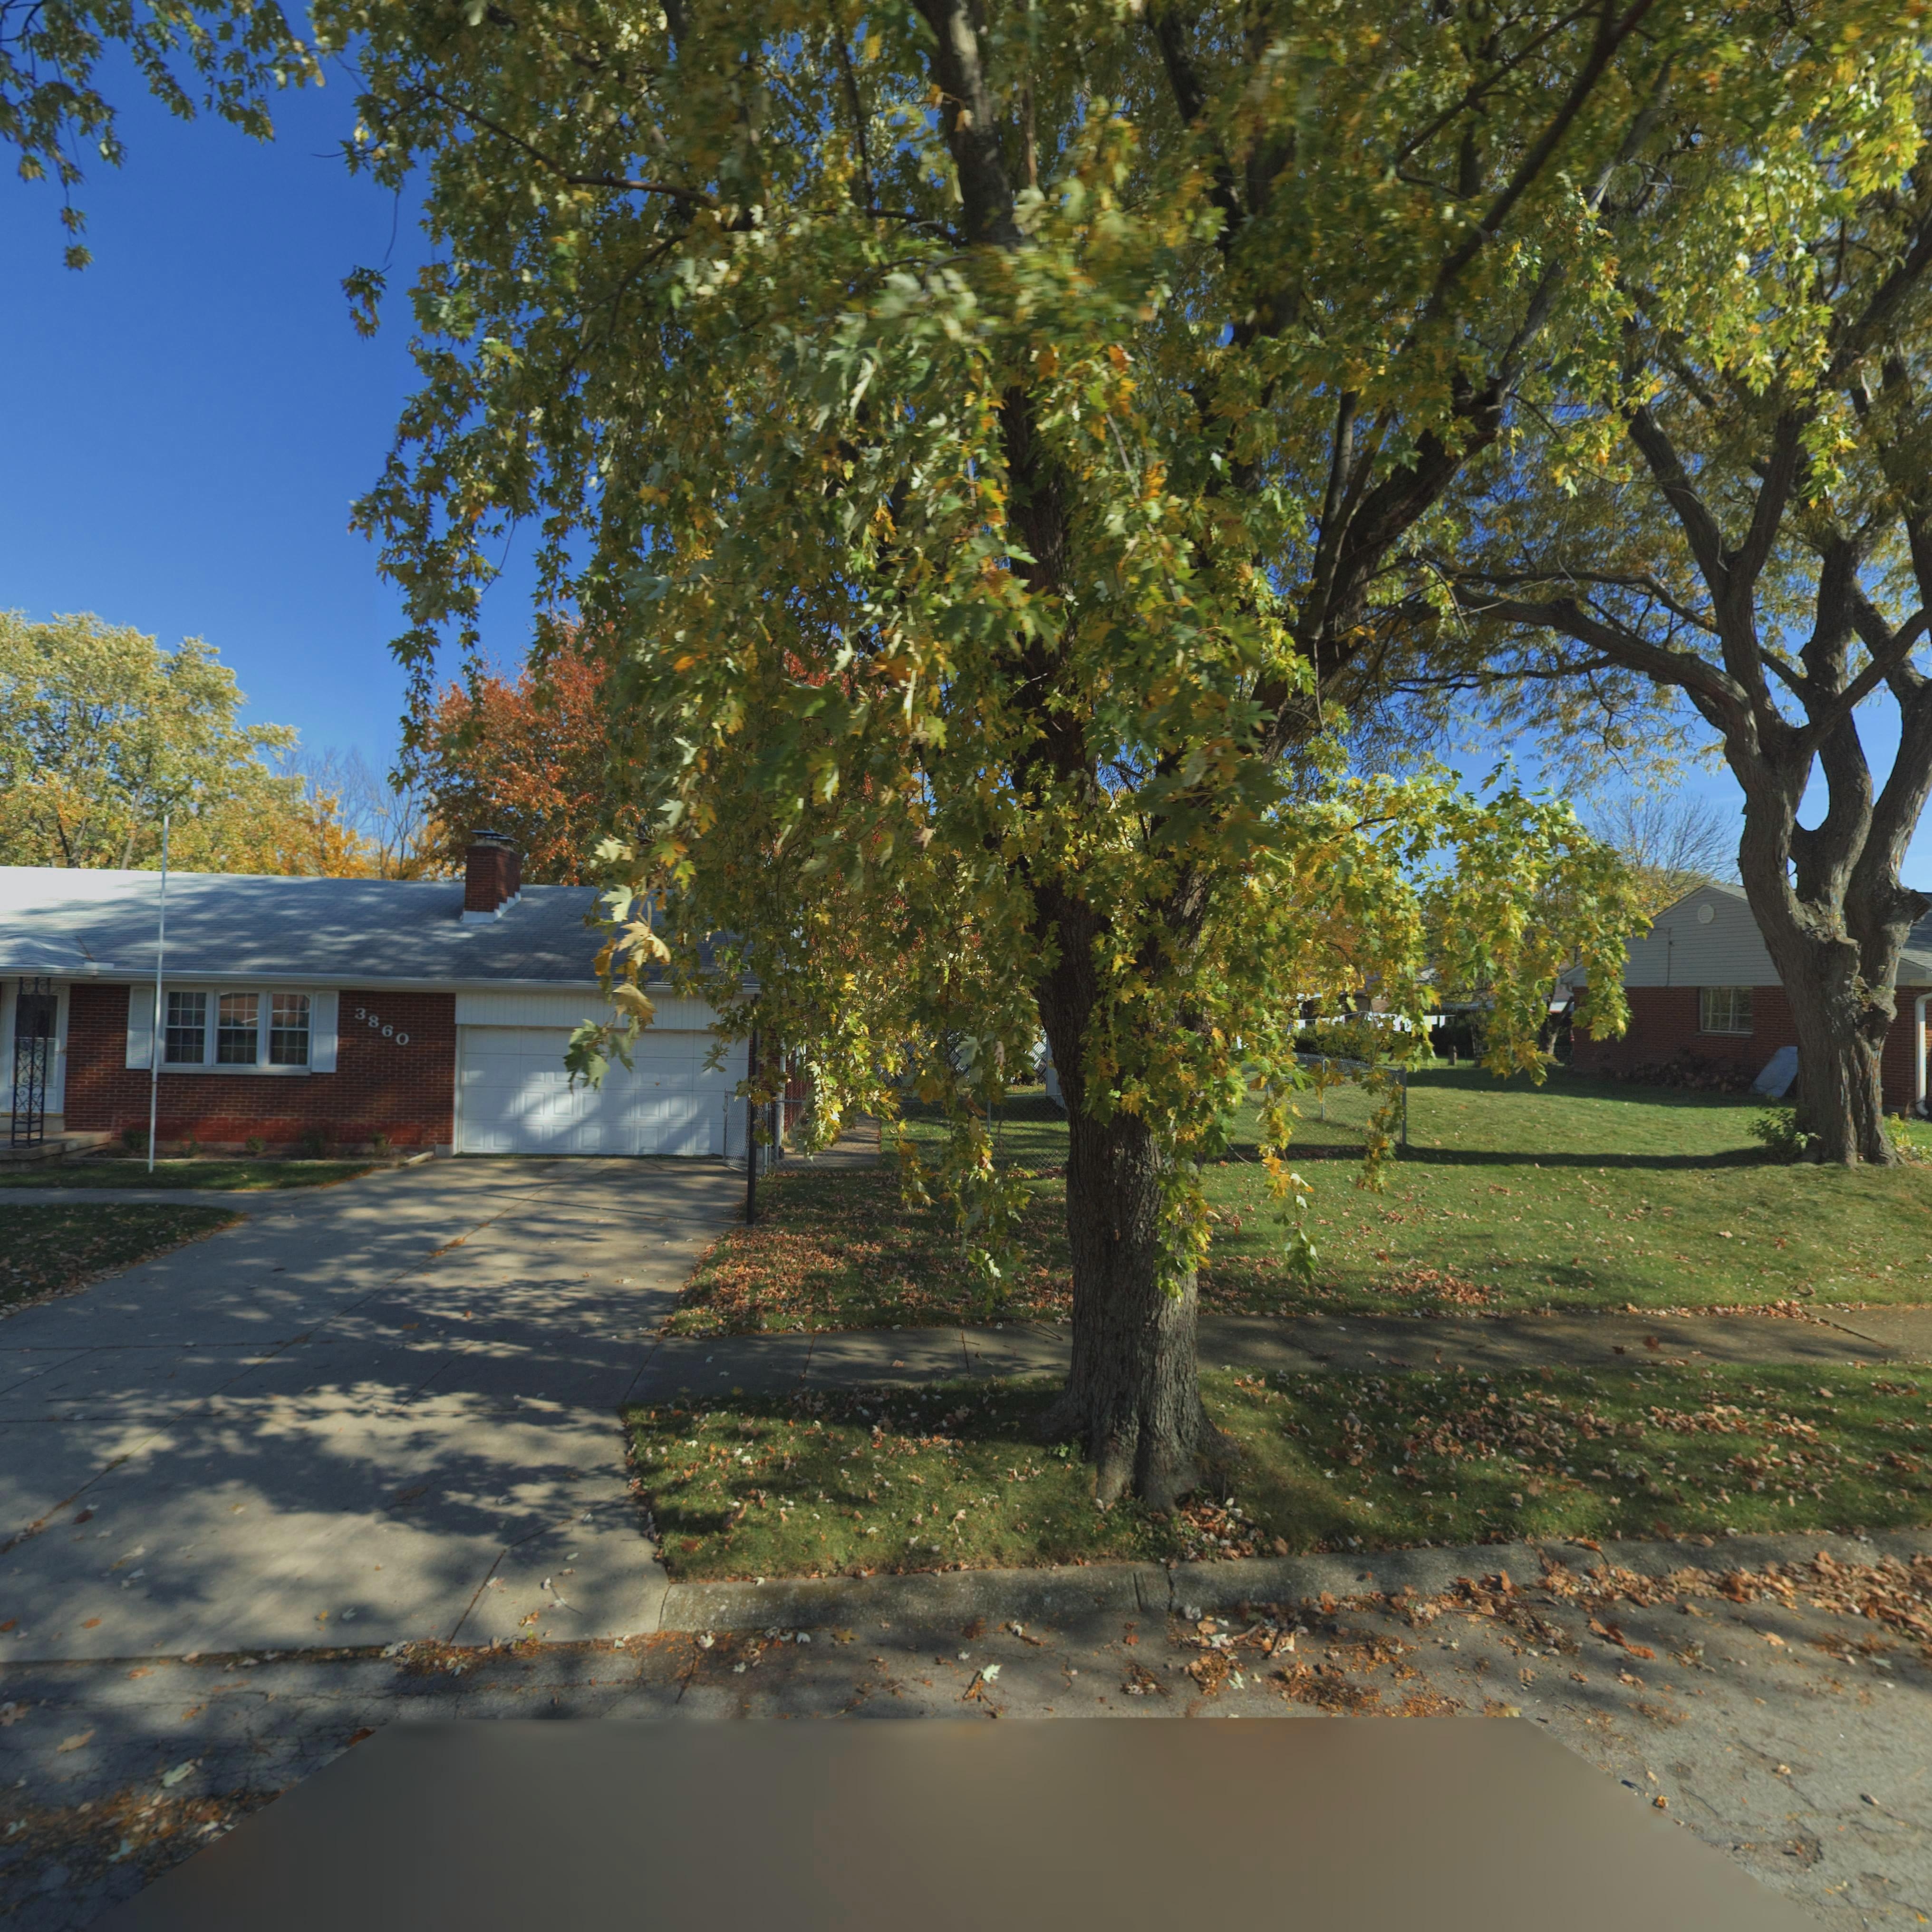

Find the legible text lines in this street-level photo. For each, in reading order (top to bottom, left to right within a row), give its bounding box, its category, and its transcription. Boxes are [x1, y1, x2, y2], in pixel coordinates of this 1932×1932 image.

[353, 1006, 410, 1047] StreetNumber: 3860